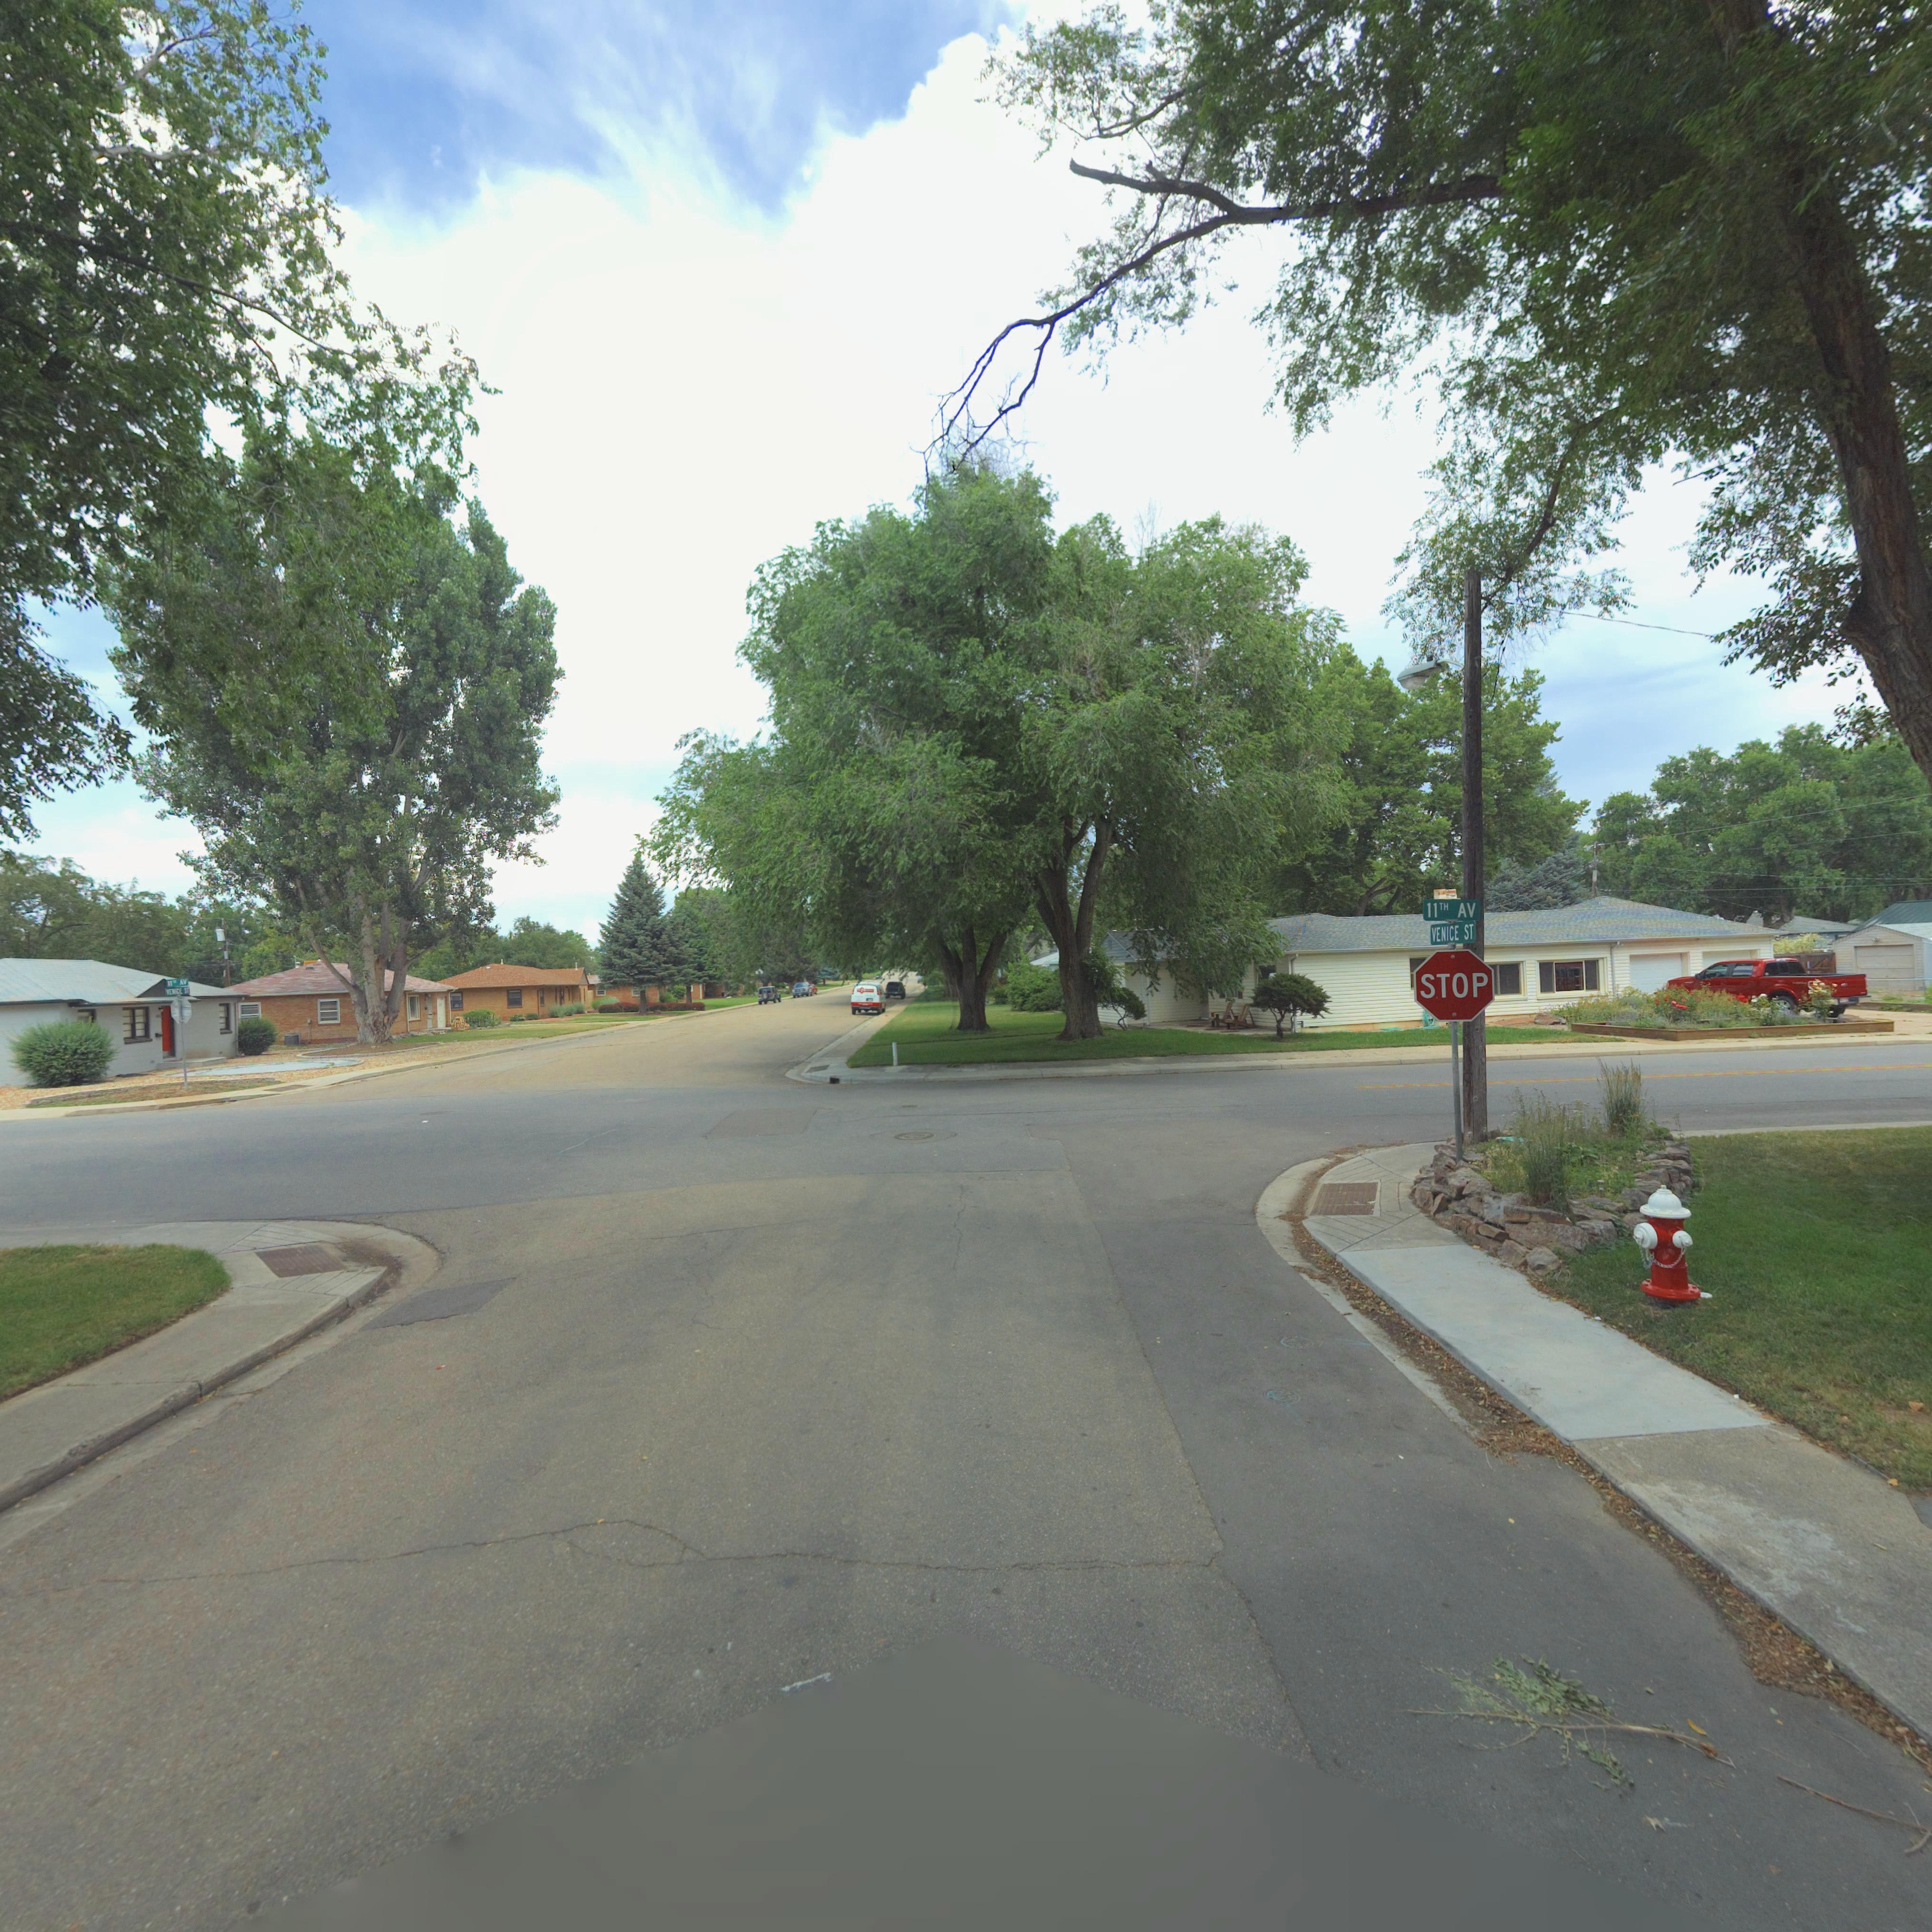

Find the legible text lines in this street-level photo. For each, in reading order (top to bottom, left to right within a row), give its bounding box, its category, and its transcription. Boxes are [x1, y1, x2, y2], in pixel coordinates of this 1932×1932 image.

[1426, 901, 1477, 918] StreetName: 11TH AV
[1431, 923, 1474, 942] StreetName: VENICE ST
[167, 978, 187, 987] StreetName: 11** AV
[165, 987, 189, 995] StreetName: VENICE S*